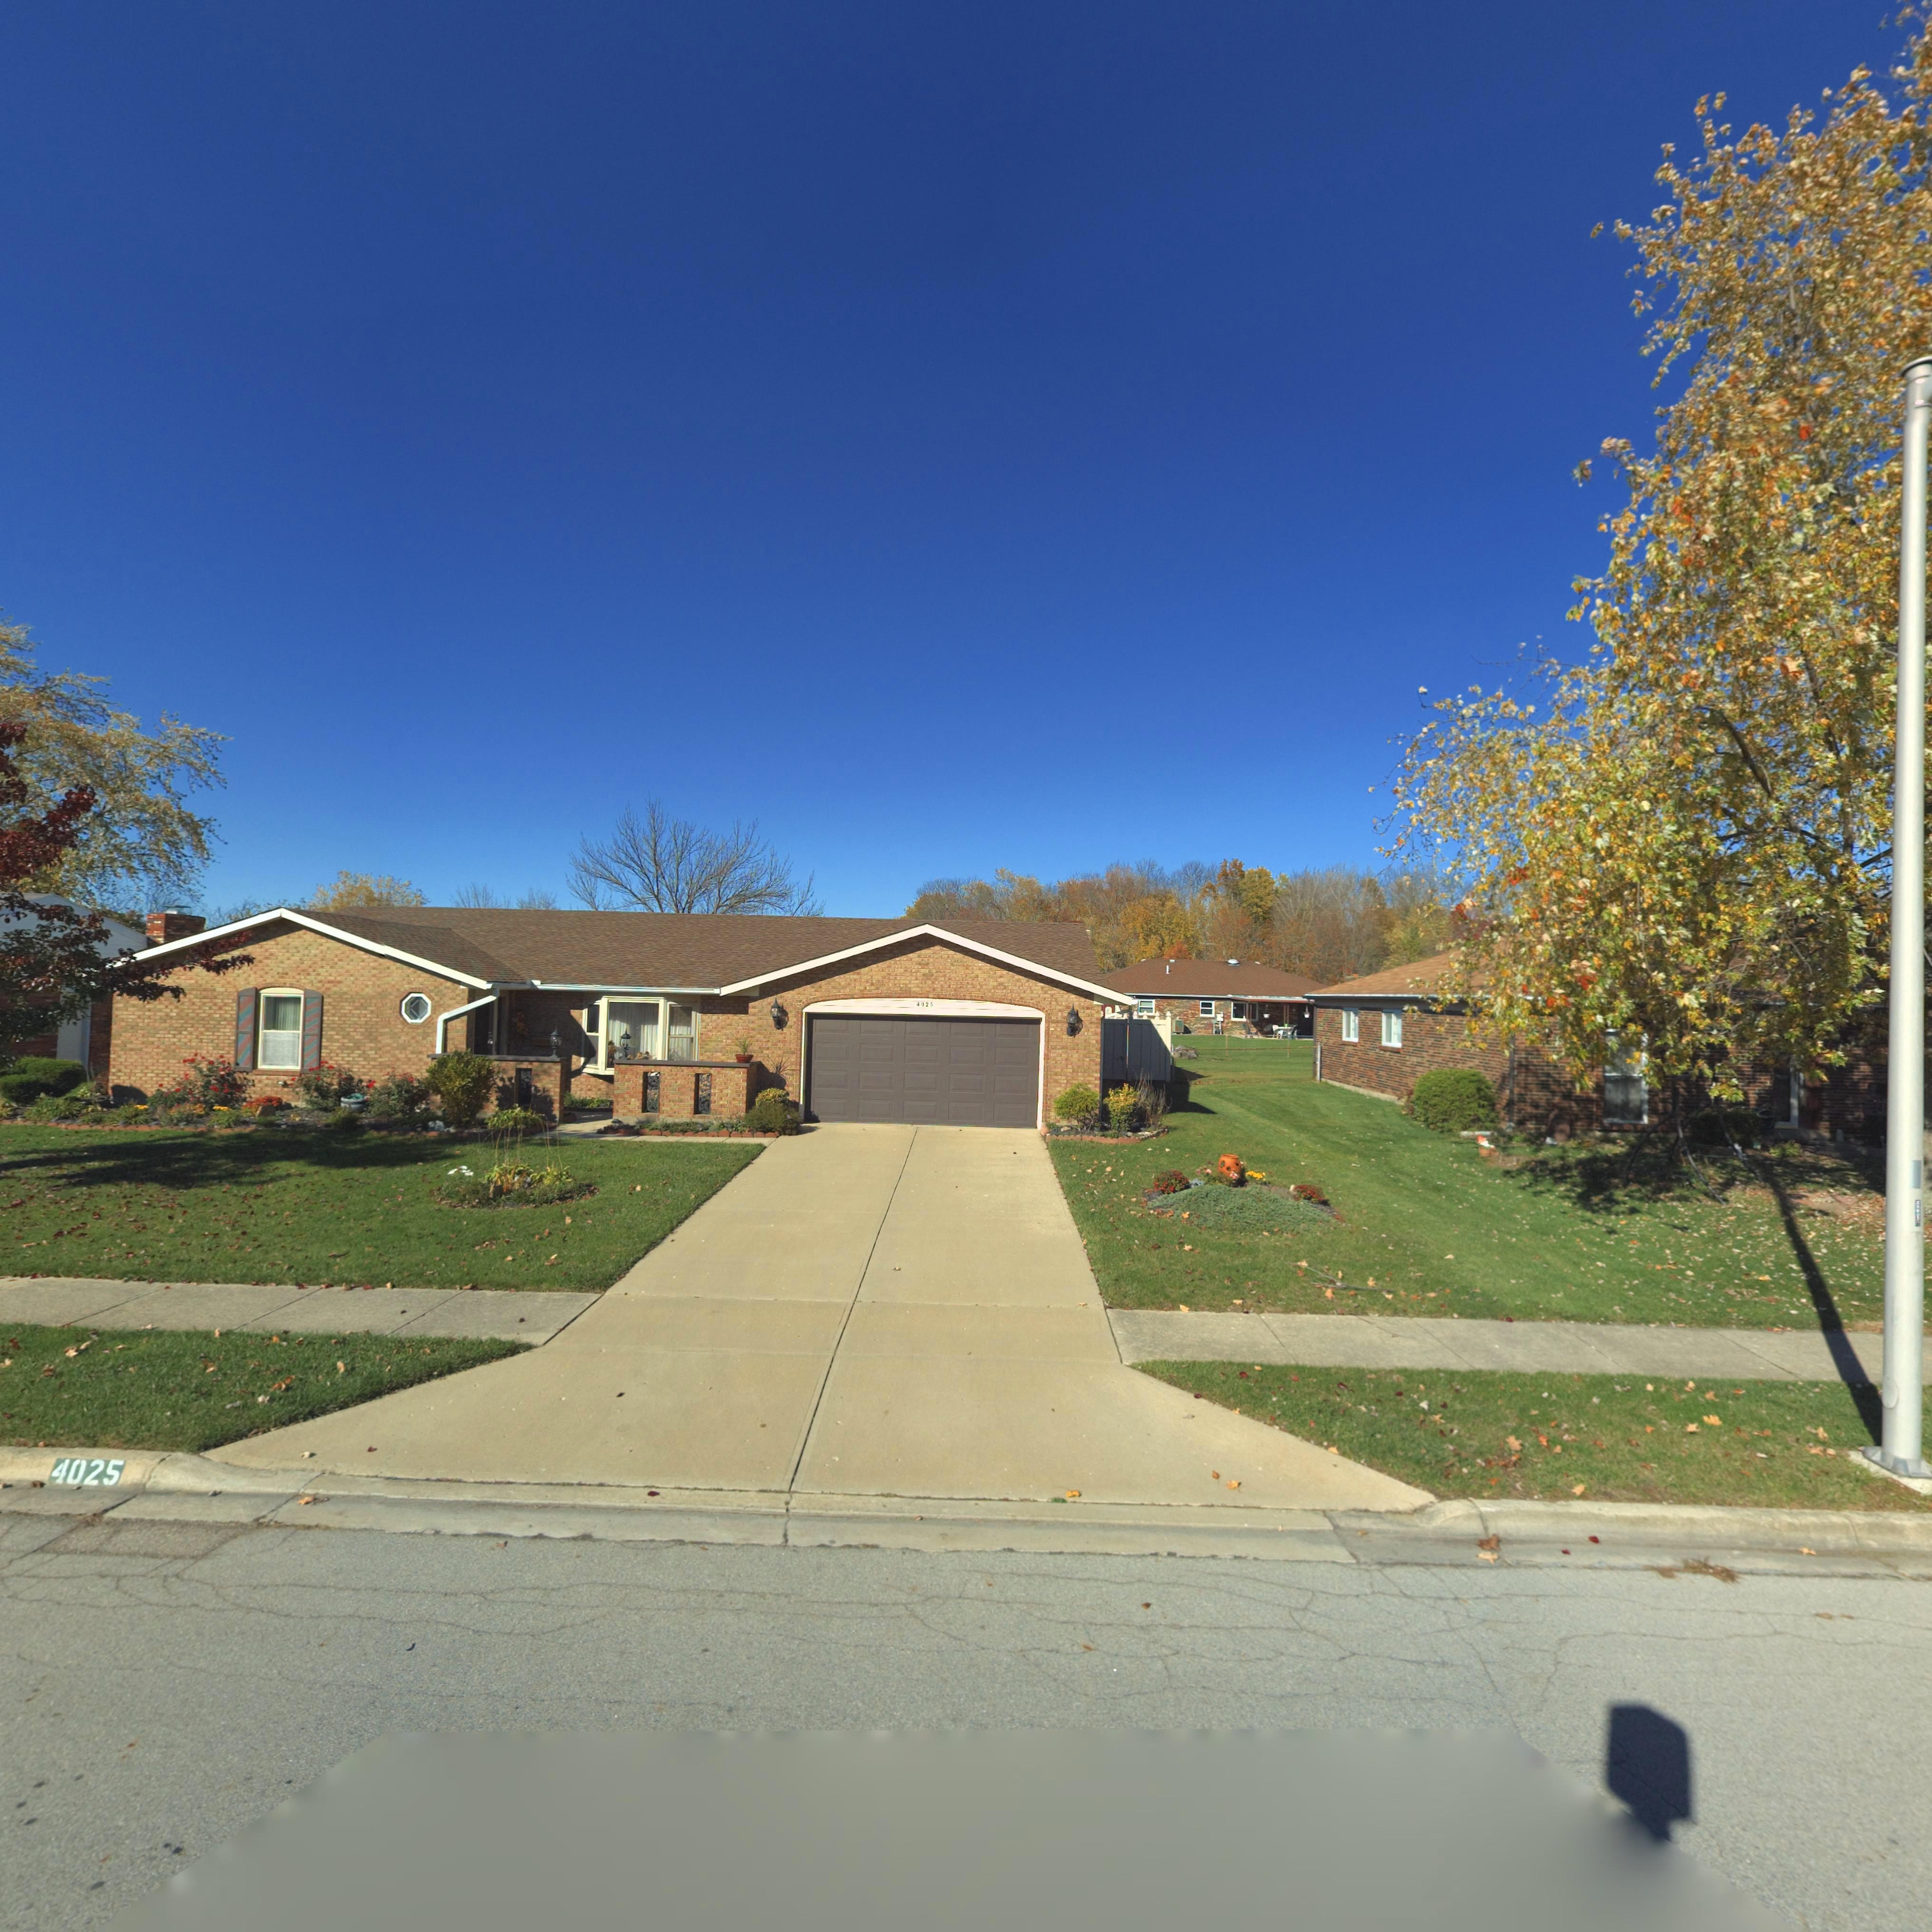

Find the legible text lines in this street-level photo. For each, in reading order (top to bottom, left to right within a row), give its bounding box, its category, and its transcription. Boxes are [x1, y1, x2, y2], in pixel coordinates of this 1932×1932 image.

[916, 1001, 934, 1007] StreetNumber: 4025
[50, 1458, 126, 1487] StreetNumber: 4025